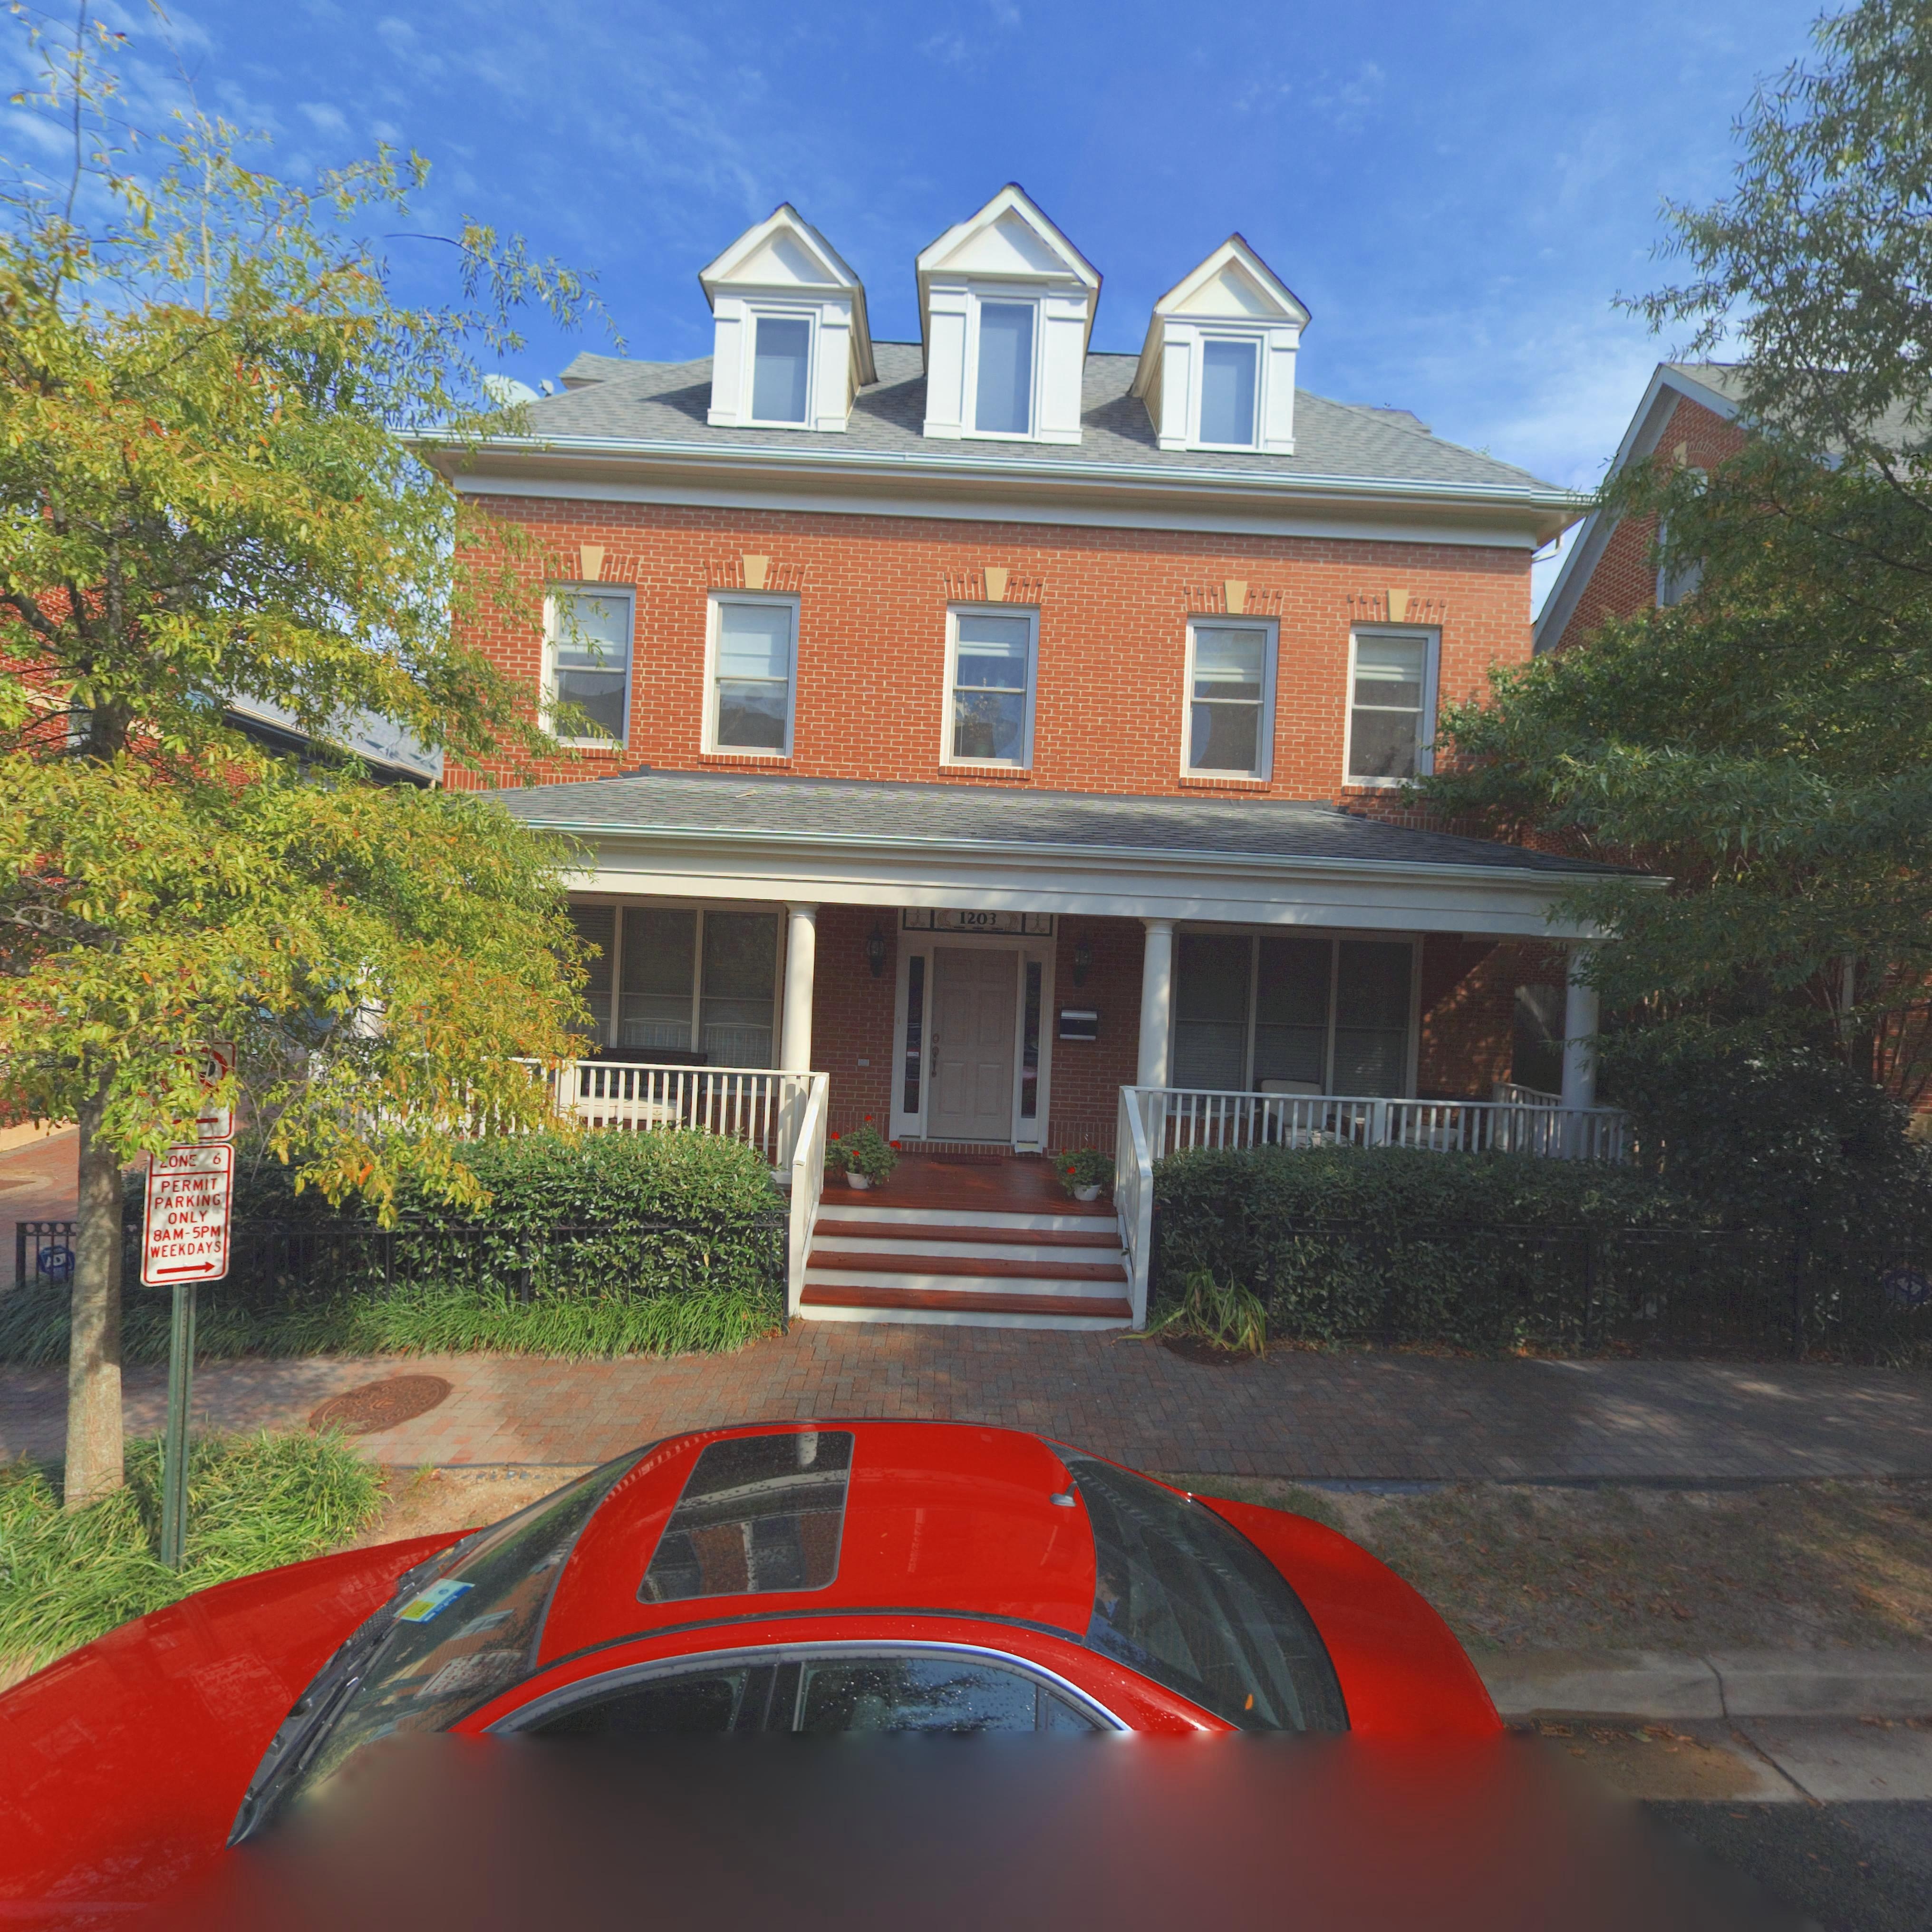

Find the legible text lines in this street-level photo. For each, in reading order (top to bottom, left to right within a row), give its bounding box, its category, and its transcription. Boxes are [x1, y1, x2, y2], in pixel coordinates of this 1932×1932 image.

[959, 910, 997, 926] StreetNumber: 1203
[167, 1151, 223, 1169] None: ON* 6
[160, 1177, 218, 1194] None: PERMIT
[154, 1193, 222, 1210] None: PARKING
[167, 1208, 209, 1226] None: ONLY
[152, 1224, 222, 1243] None: 8AM-5PM
[148, 1239, 222, 1259] None: WEEKDAYS